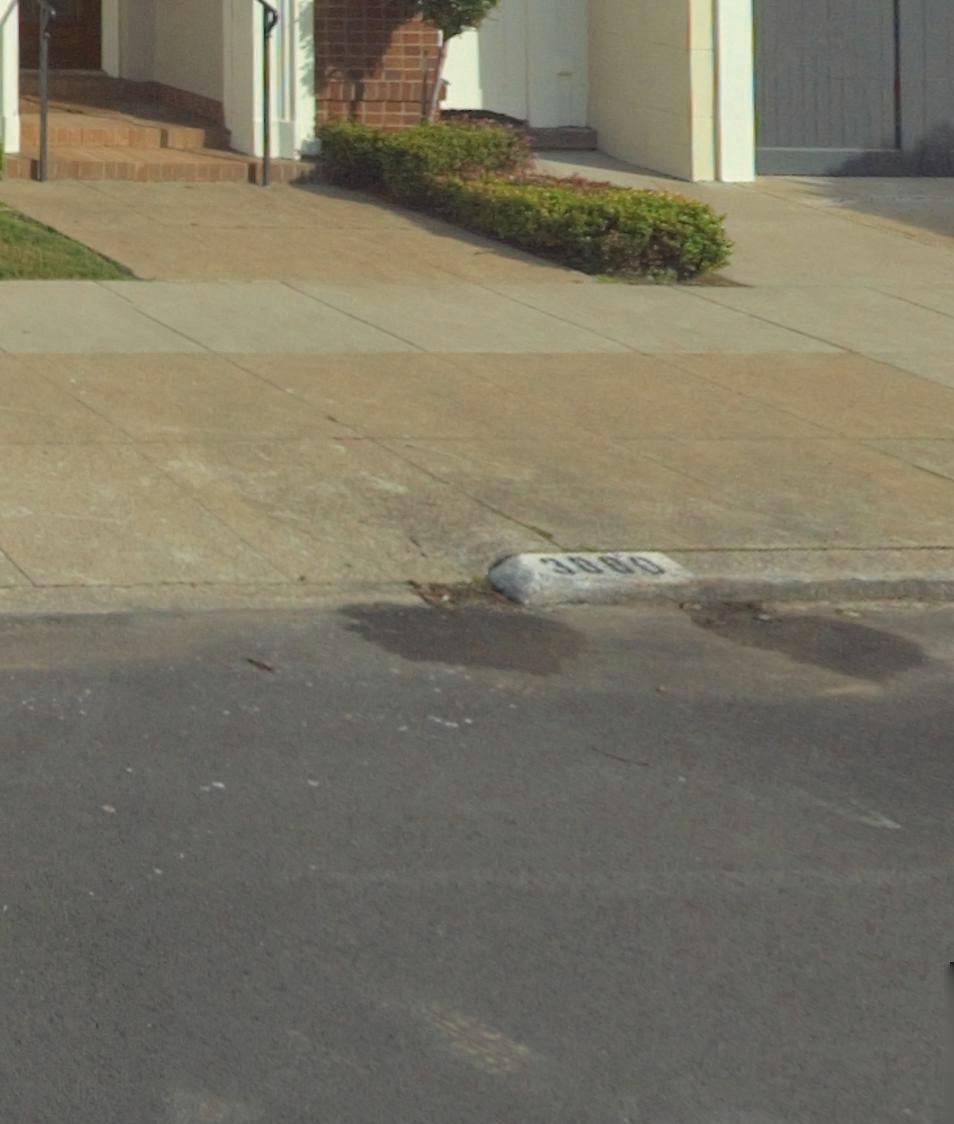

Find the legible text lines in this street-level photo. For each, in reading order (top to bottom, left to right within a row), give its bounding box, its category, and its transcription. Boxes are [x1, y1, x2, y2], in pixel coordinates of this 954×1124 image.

[528, 553, 681, 579] StreetNumber: 3000